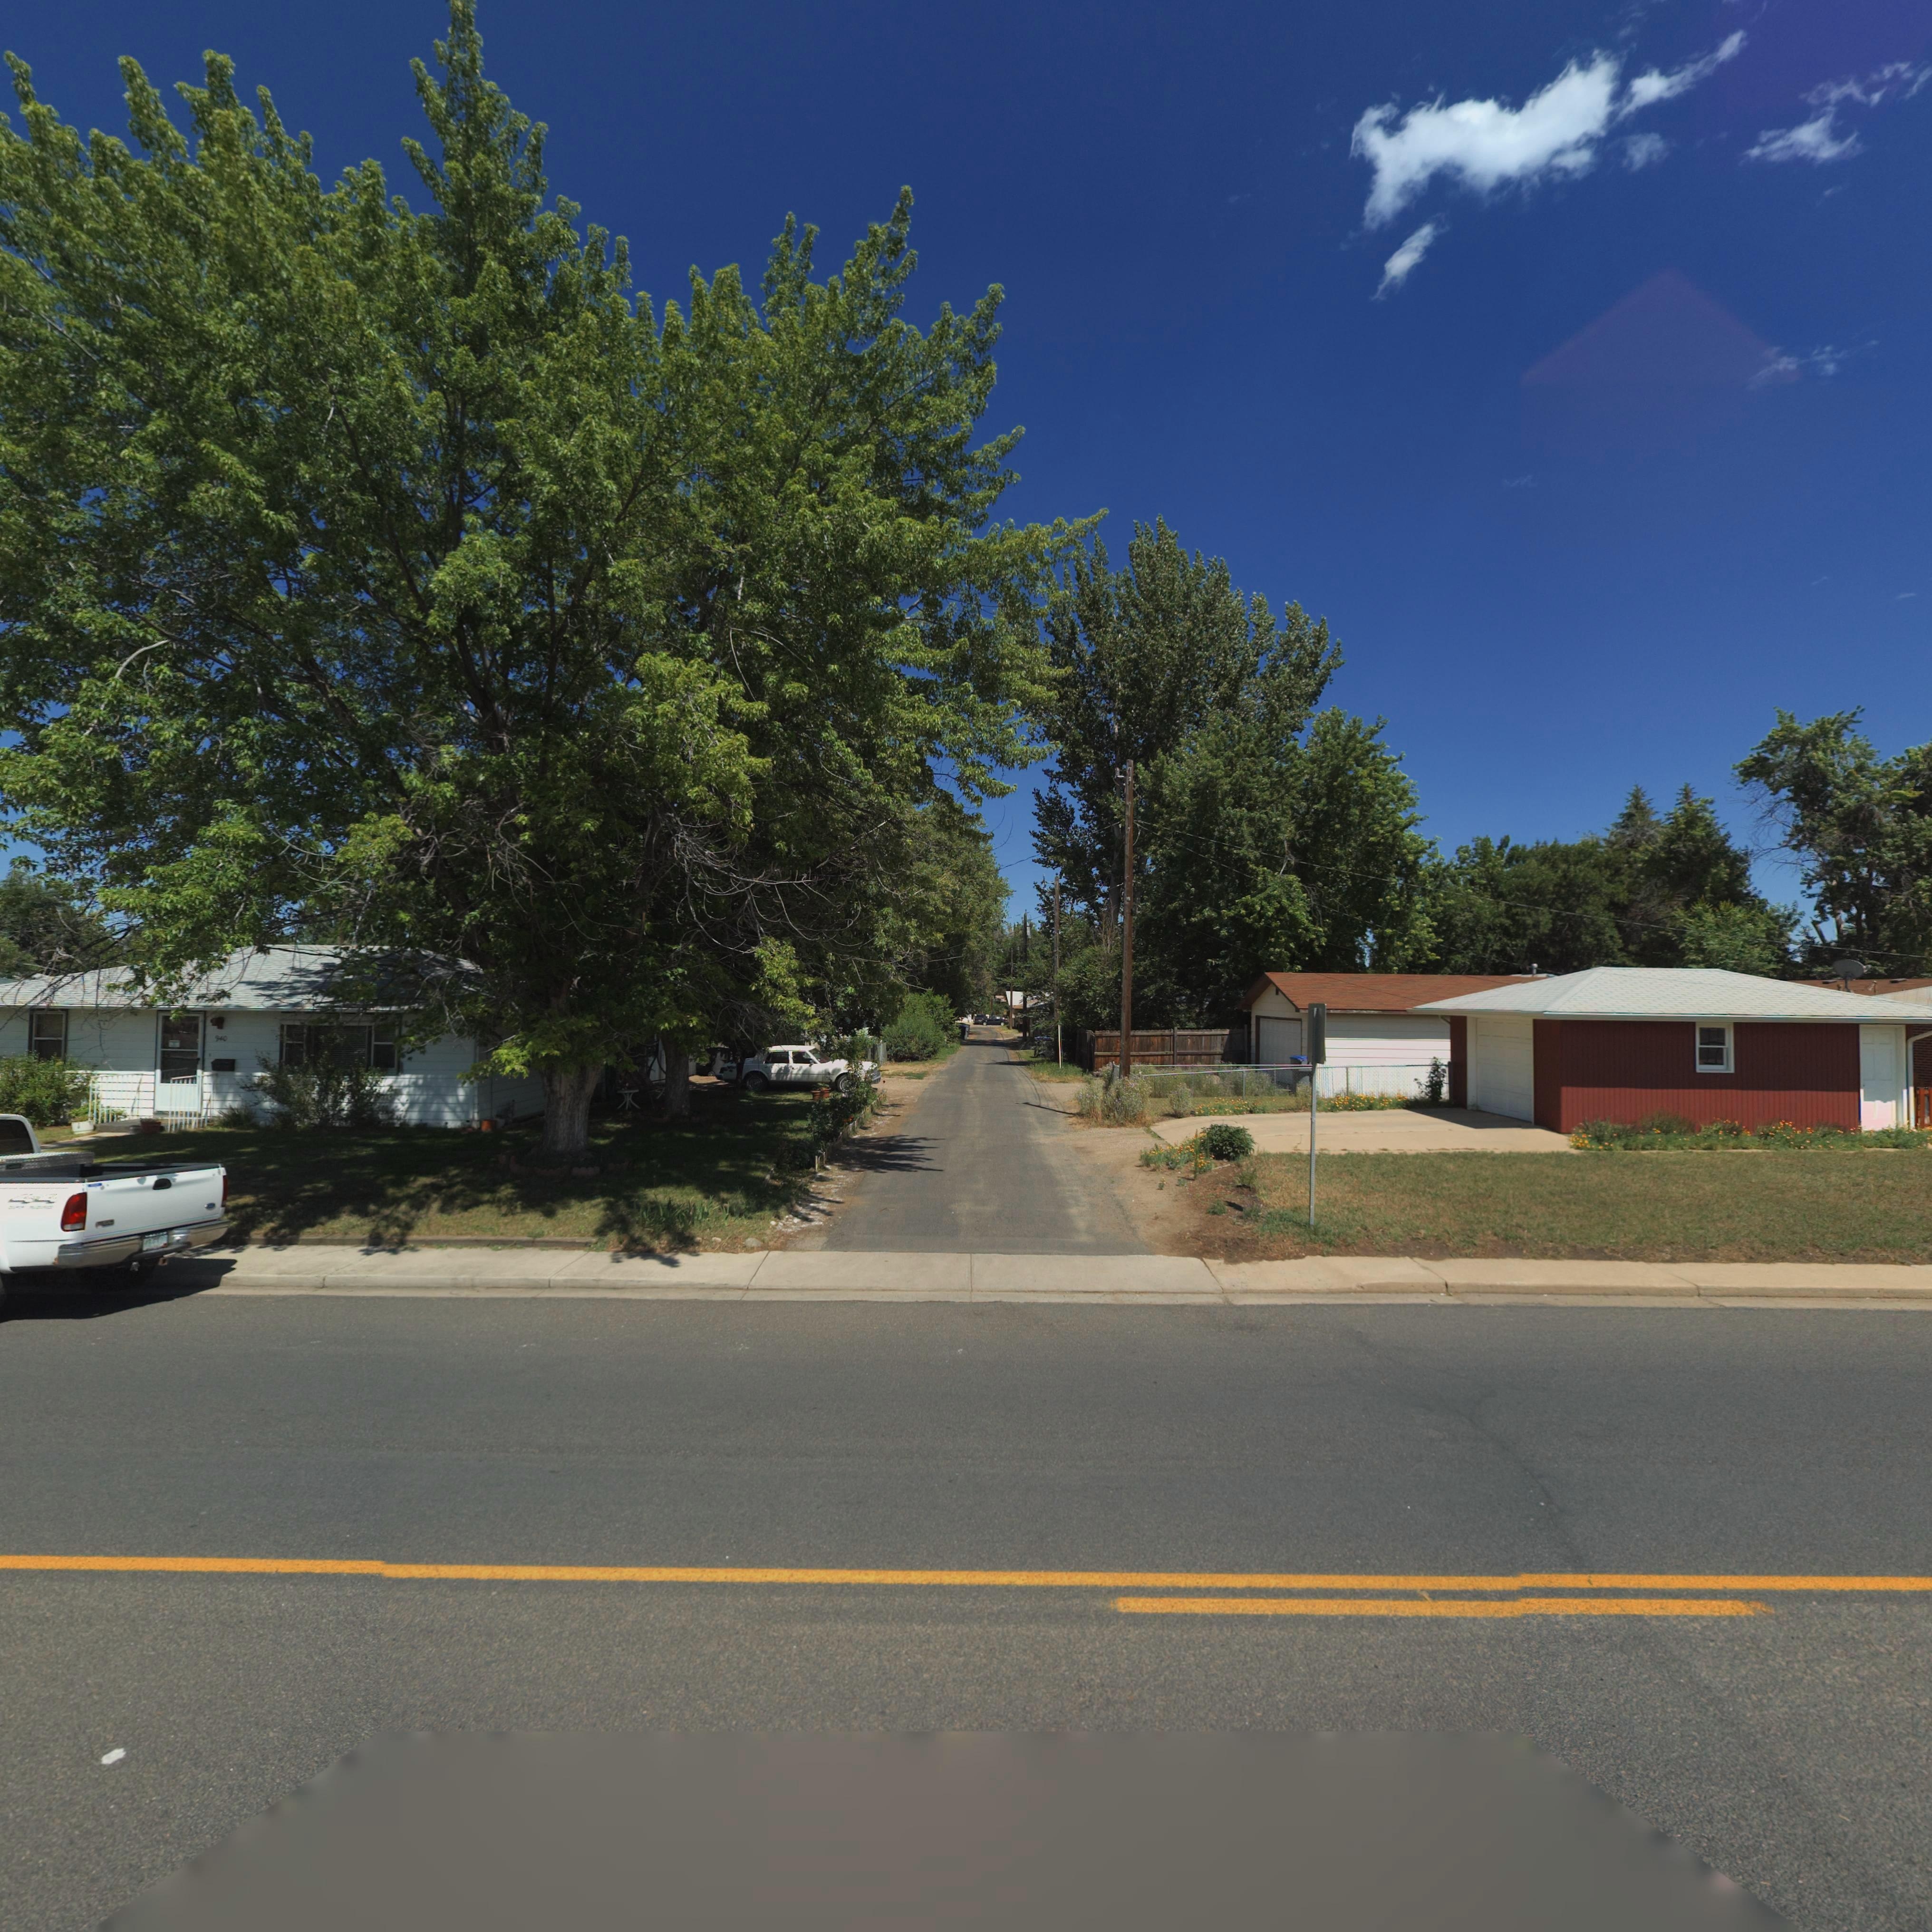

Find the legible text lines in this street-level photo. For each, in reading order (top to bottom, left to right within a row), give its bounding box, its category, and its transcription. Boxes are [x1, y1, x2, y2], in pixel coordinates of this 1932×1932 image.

[215, 1035, 228, 1042] StreetNumber: 940